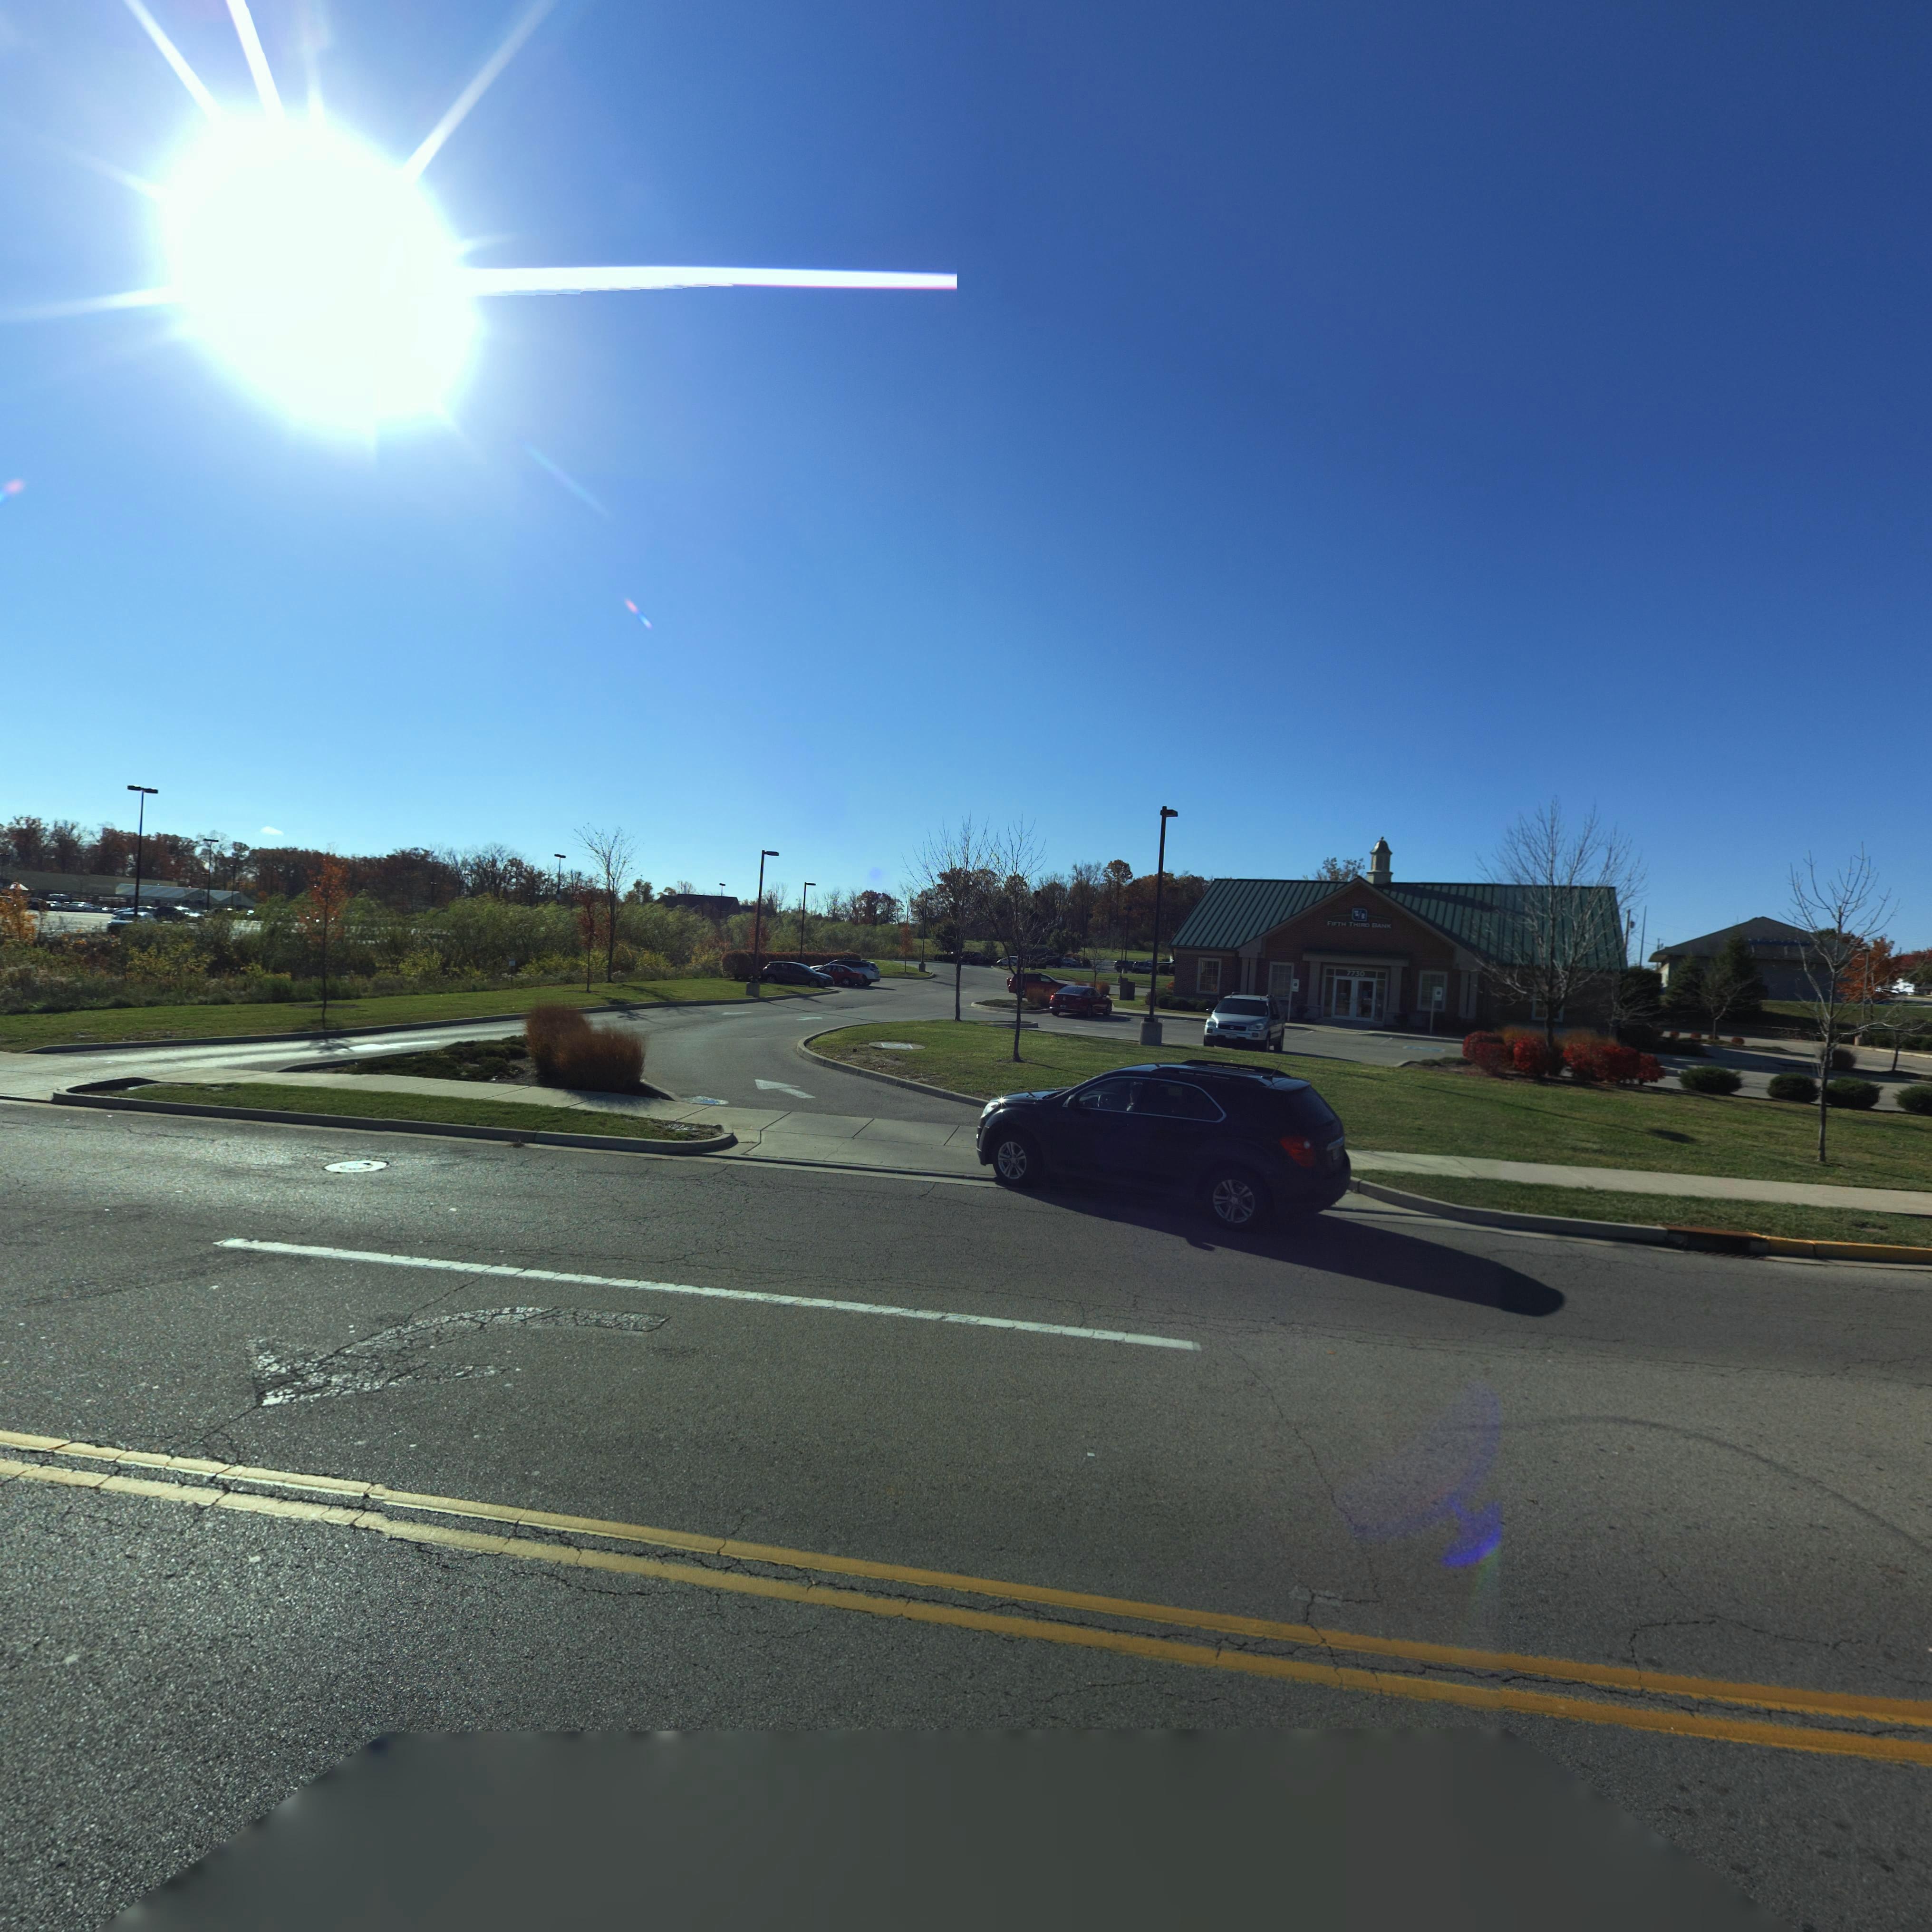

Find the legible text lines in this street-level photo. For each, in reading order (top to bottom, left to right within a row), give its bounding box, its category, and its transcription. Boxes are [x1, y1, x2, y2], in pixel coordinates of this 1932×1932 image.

[1346, 970, 1366, 977] StreetNumber: 7730